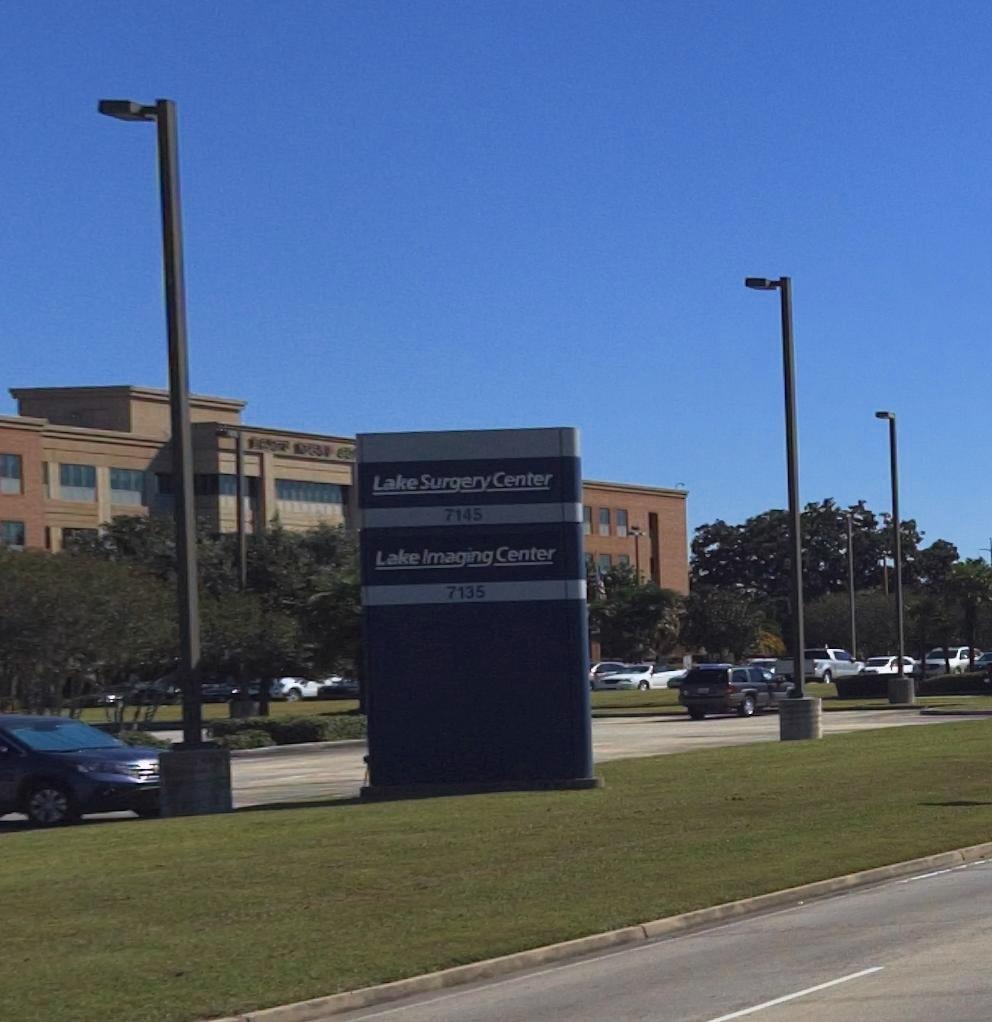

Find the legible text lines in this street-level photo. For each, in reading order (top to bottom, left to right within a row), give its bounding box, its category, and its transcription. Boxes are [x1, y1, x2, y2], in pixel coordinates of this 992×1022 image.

[370, 466, 559, 496] BusinessName: LakeSurgeryCenter
[443, 506, 486, 525] StreetNumber: 7145
[372, 544, 562, 569] BusinessName: LakeImagingCenter
[442, 582, 490, 602] StreetNumber: 7135